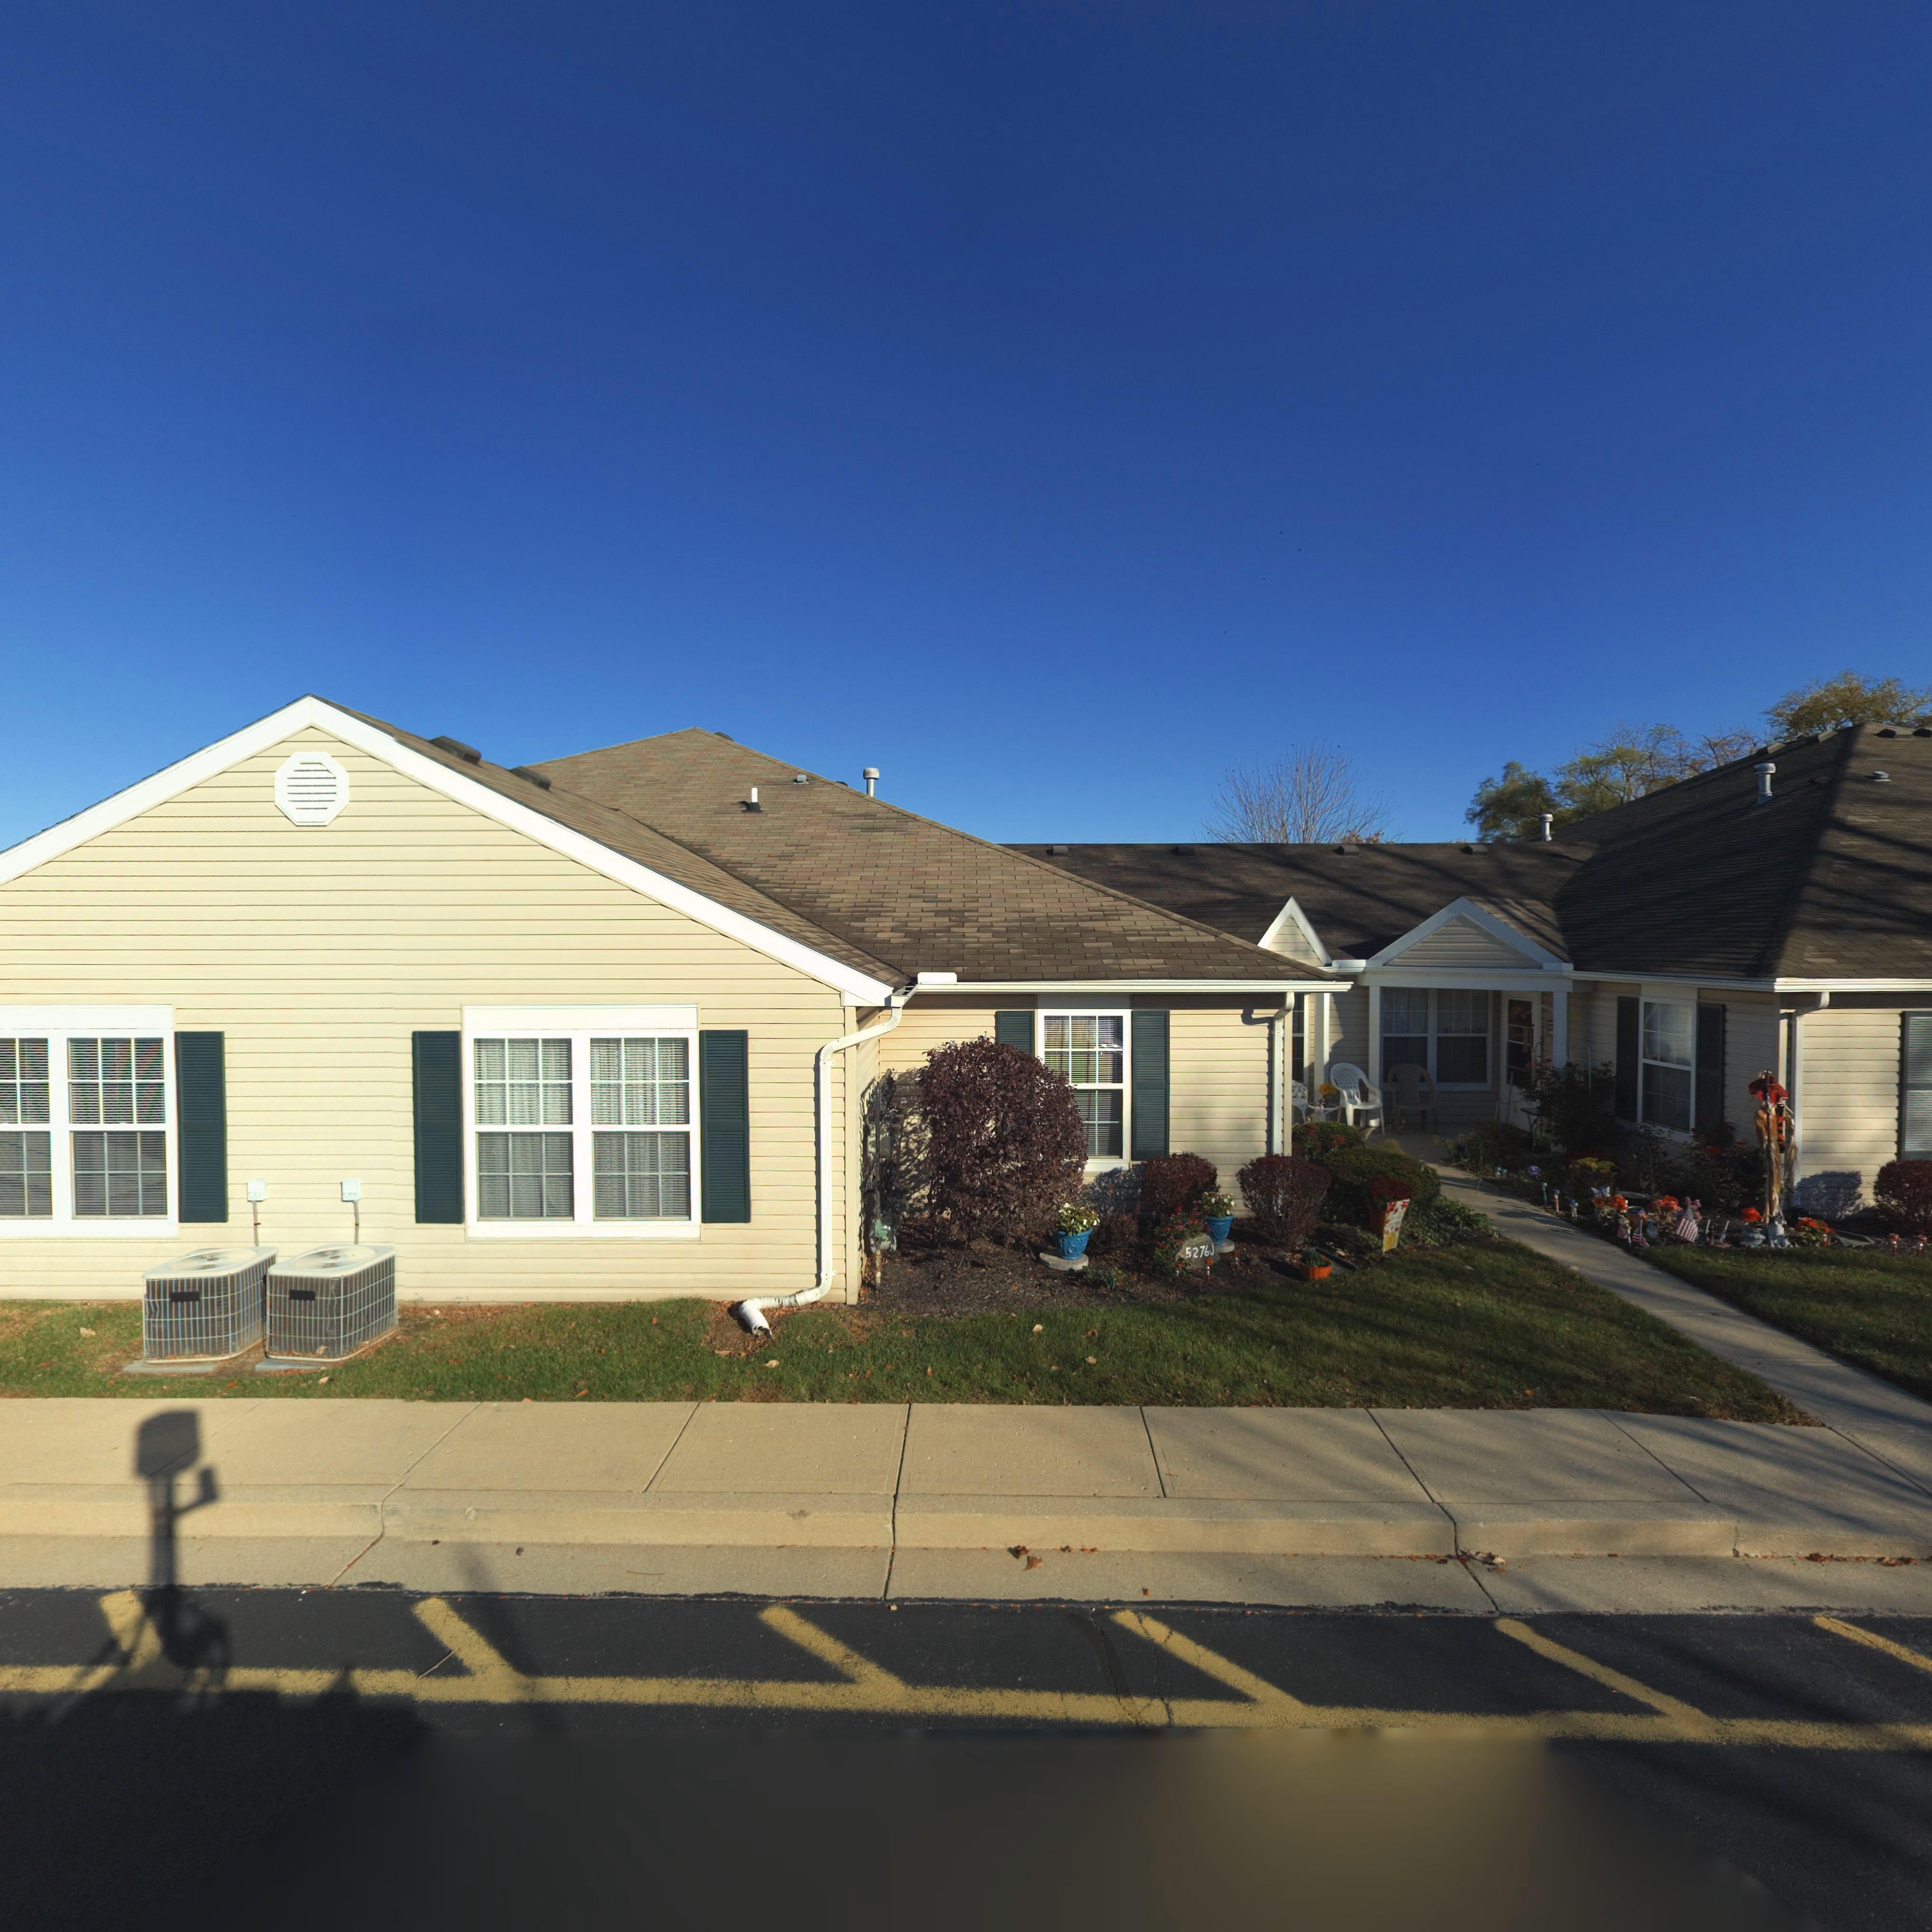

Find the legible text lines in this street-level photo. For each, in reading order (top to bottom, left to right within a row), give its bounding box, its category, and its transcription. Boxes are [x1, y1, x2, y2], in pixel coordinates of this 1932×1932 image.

[1185, 1242, 1215, 1260] StreetNumber: 5276*J